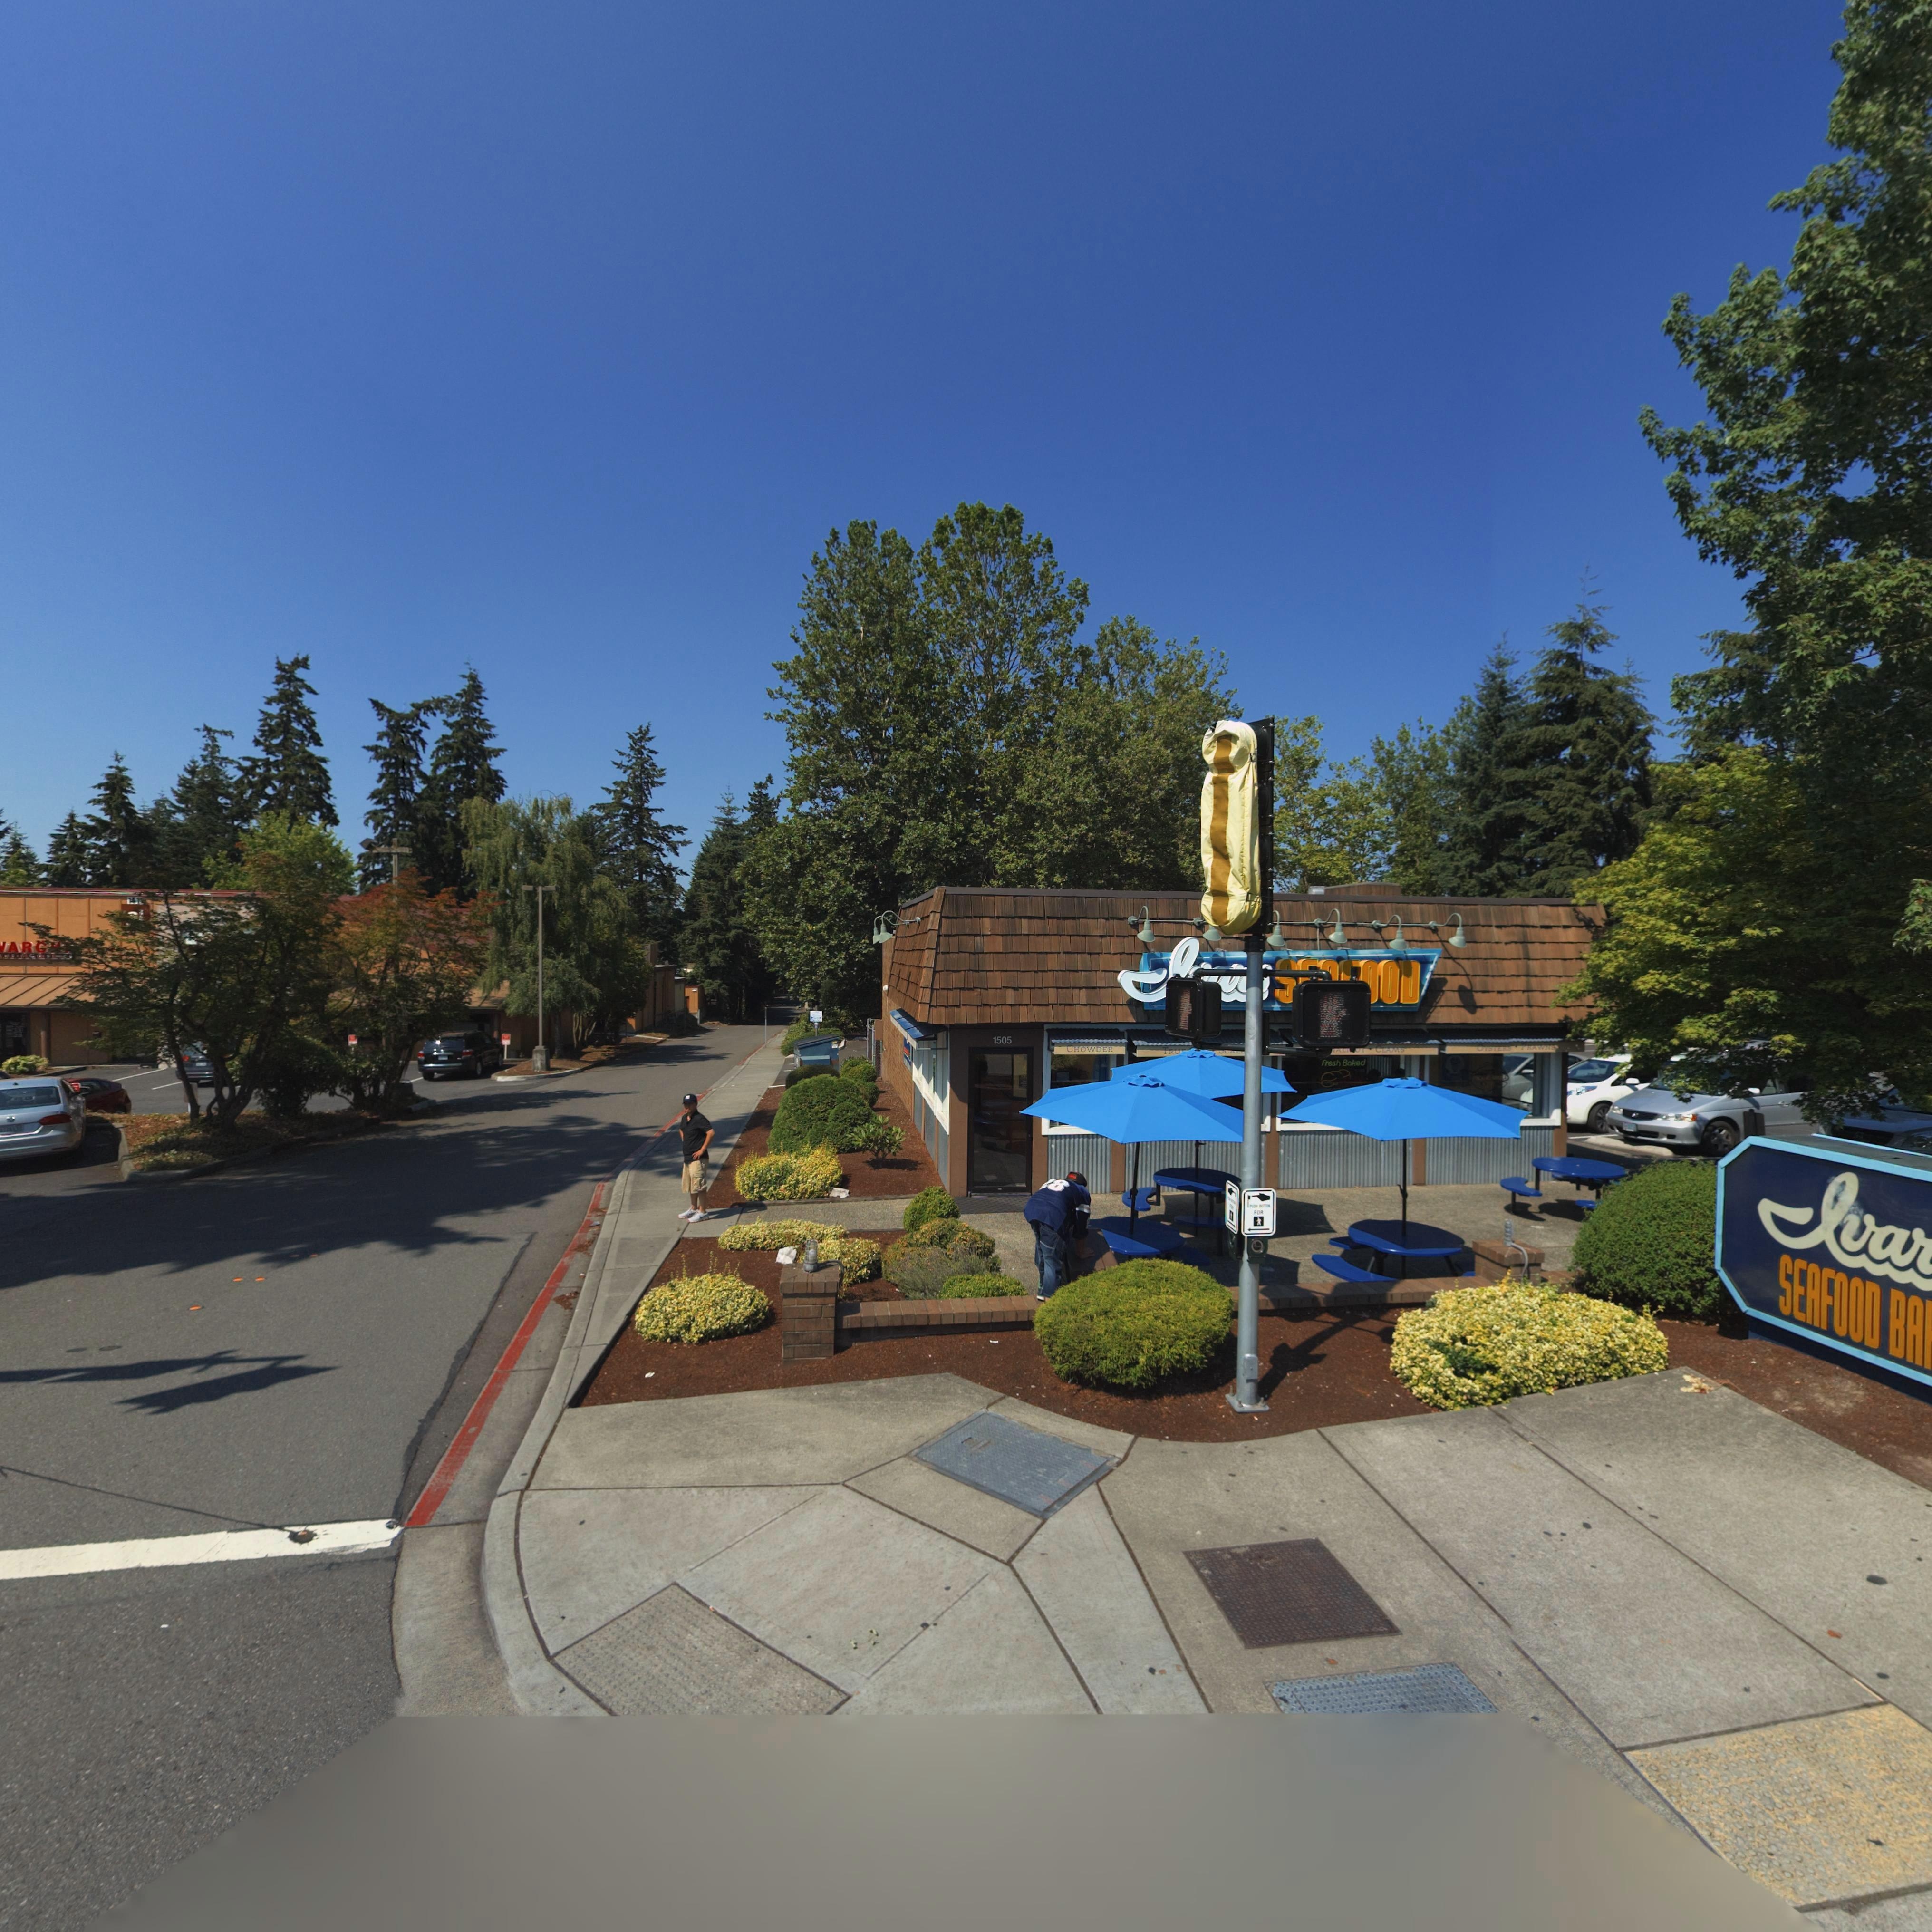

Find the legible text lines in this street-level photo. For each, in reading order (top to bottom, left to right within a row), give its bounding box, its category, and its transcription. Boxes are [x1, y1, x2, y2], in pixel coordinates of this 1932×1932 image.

[993, 1036, 1011, 1043] StreetNumber: 1505
[1373, 1044, 1407, 1053] None: CLAMS
[1321, 1058, 1366, 1066] None: Fresh Baked
[1776, 1246, 1884, 1351] None: SEAFOOD